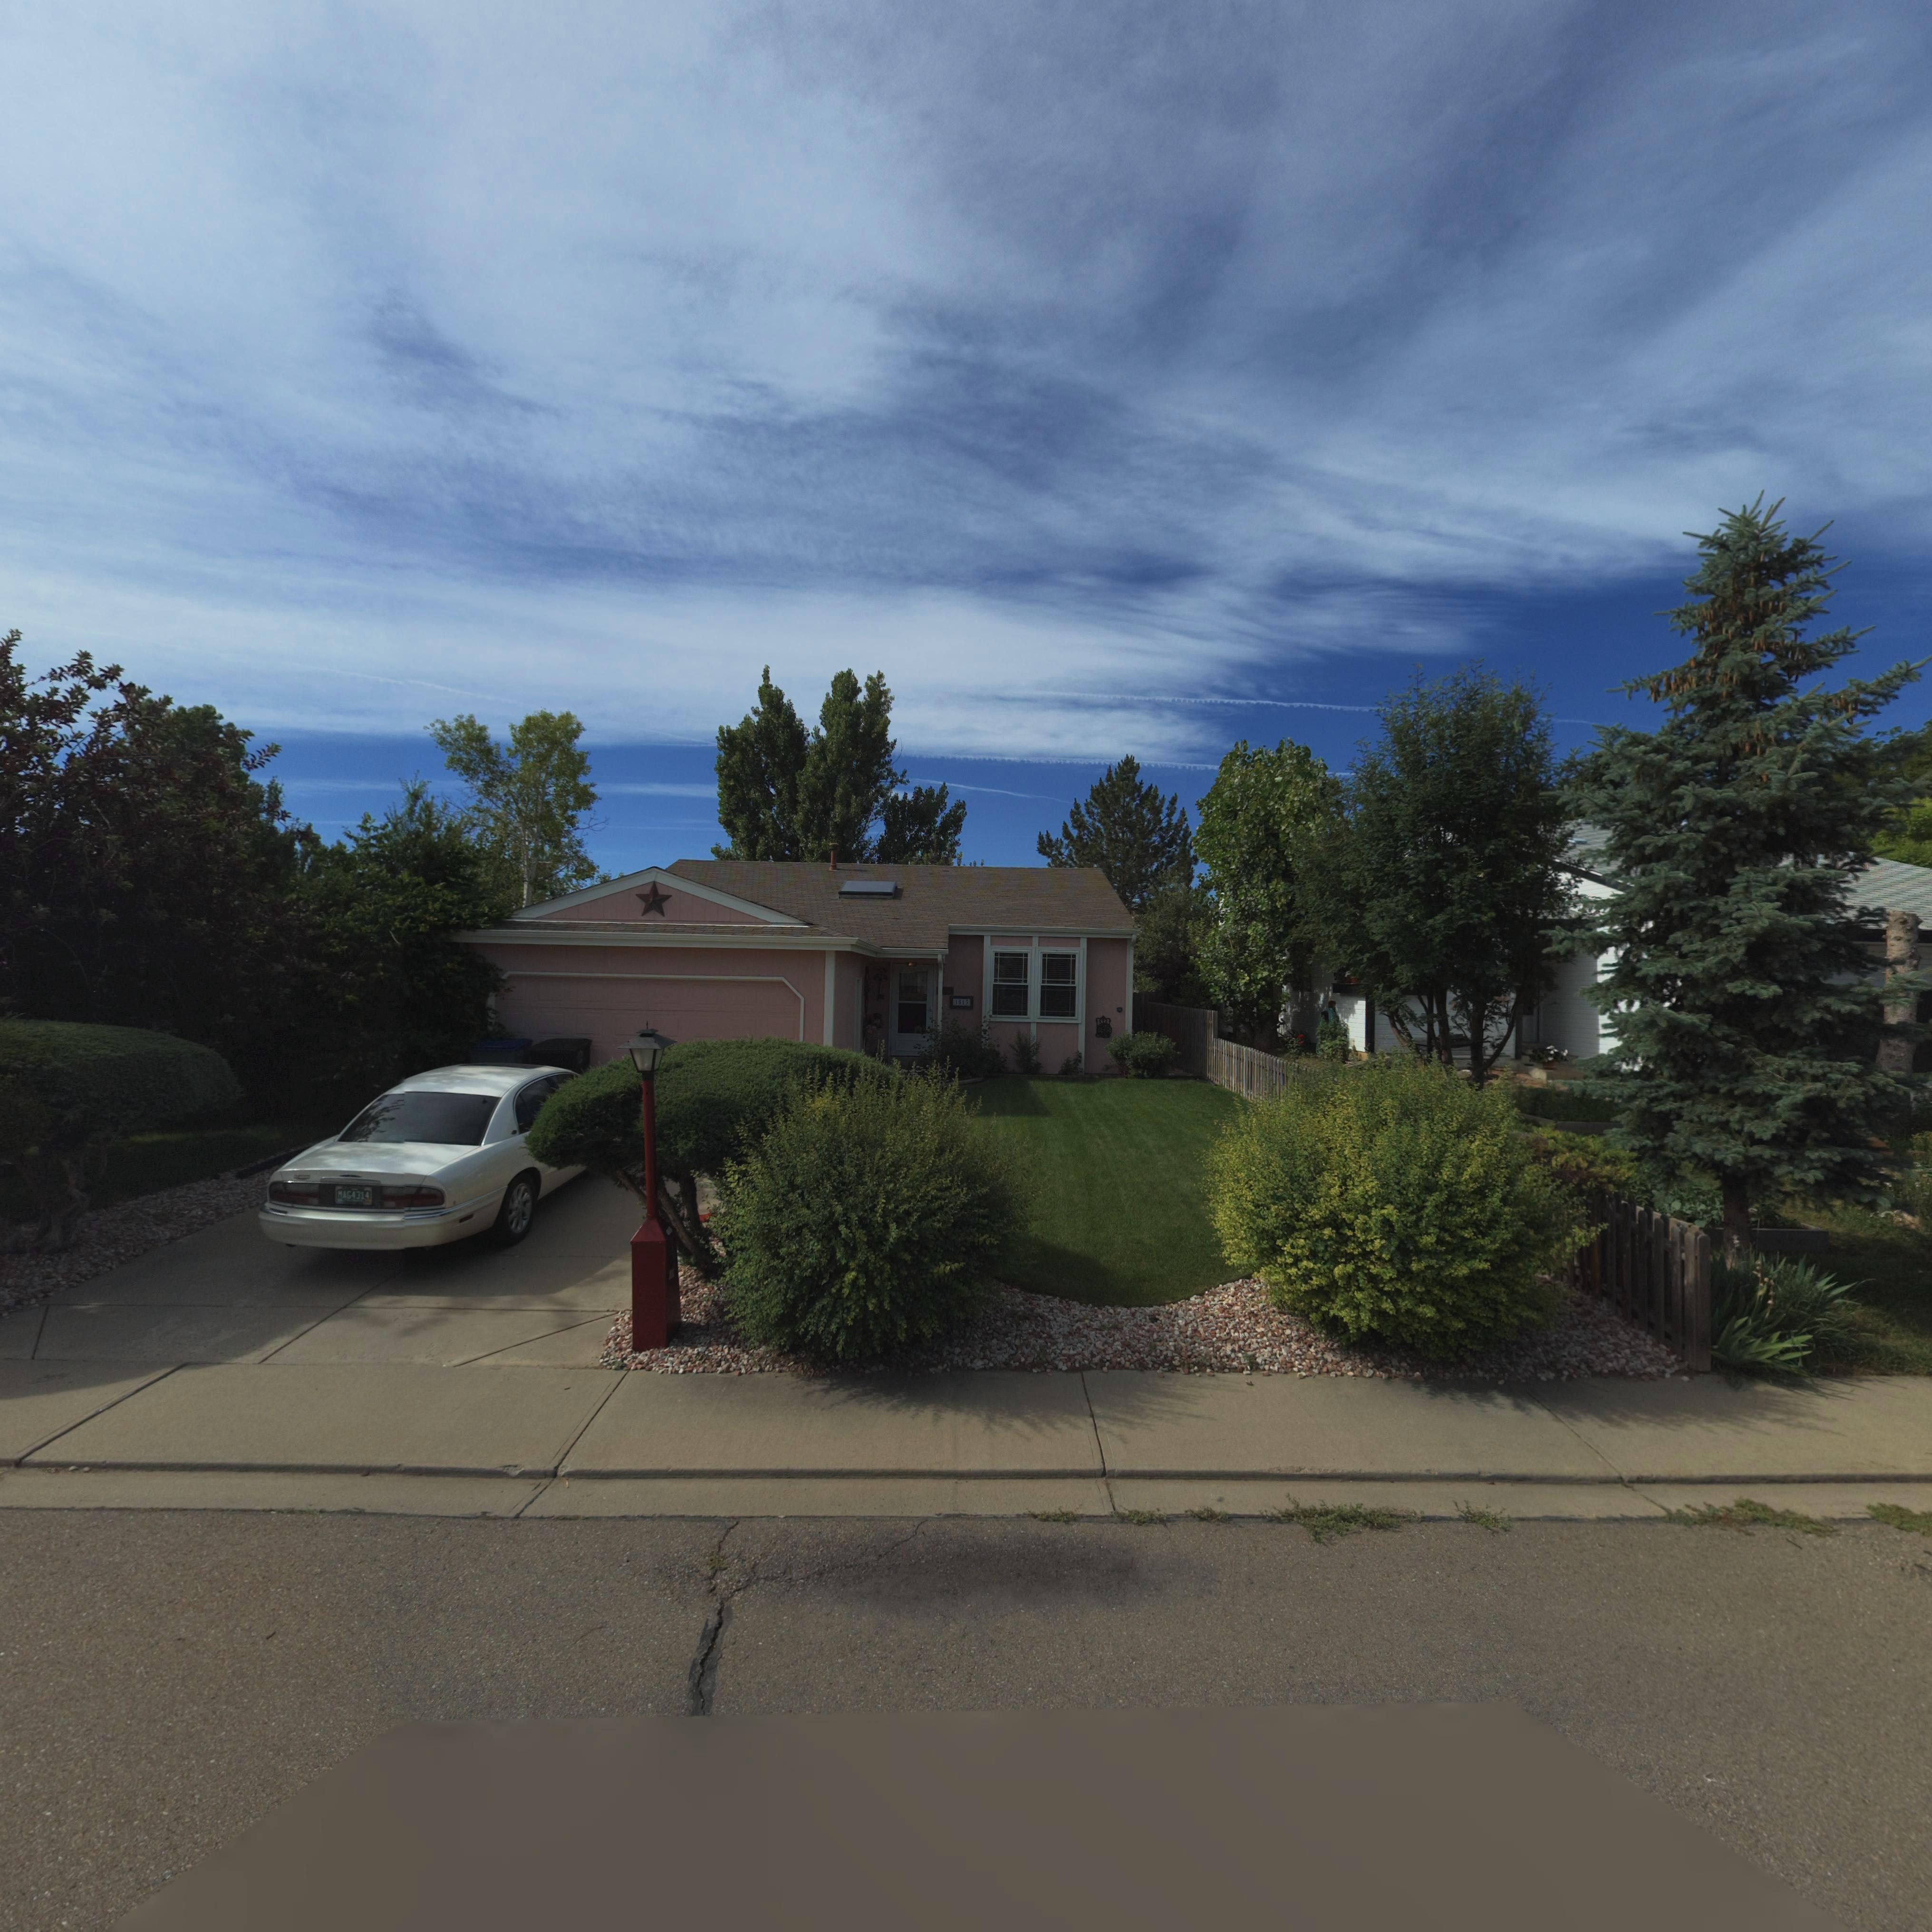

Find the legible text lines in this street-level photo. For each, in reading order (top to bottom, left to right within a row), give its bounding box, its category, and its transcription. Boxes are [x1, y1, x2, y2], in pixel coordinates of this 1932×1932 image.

[955, 999, 968, 1005] StreetNumber: 1513